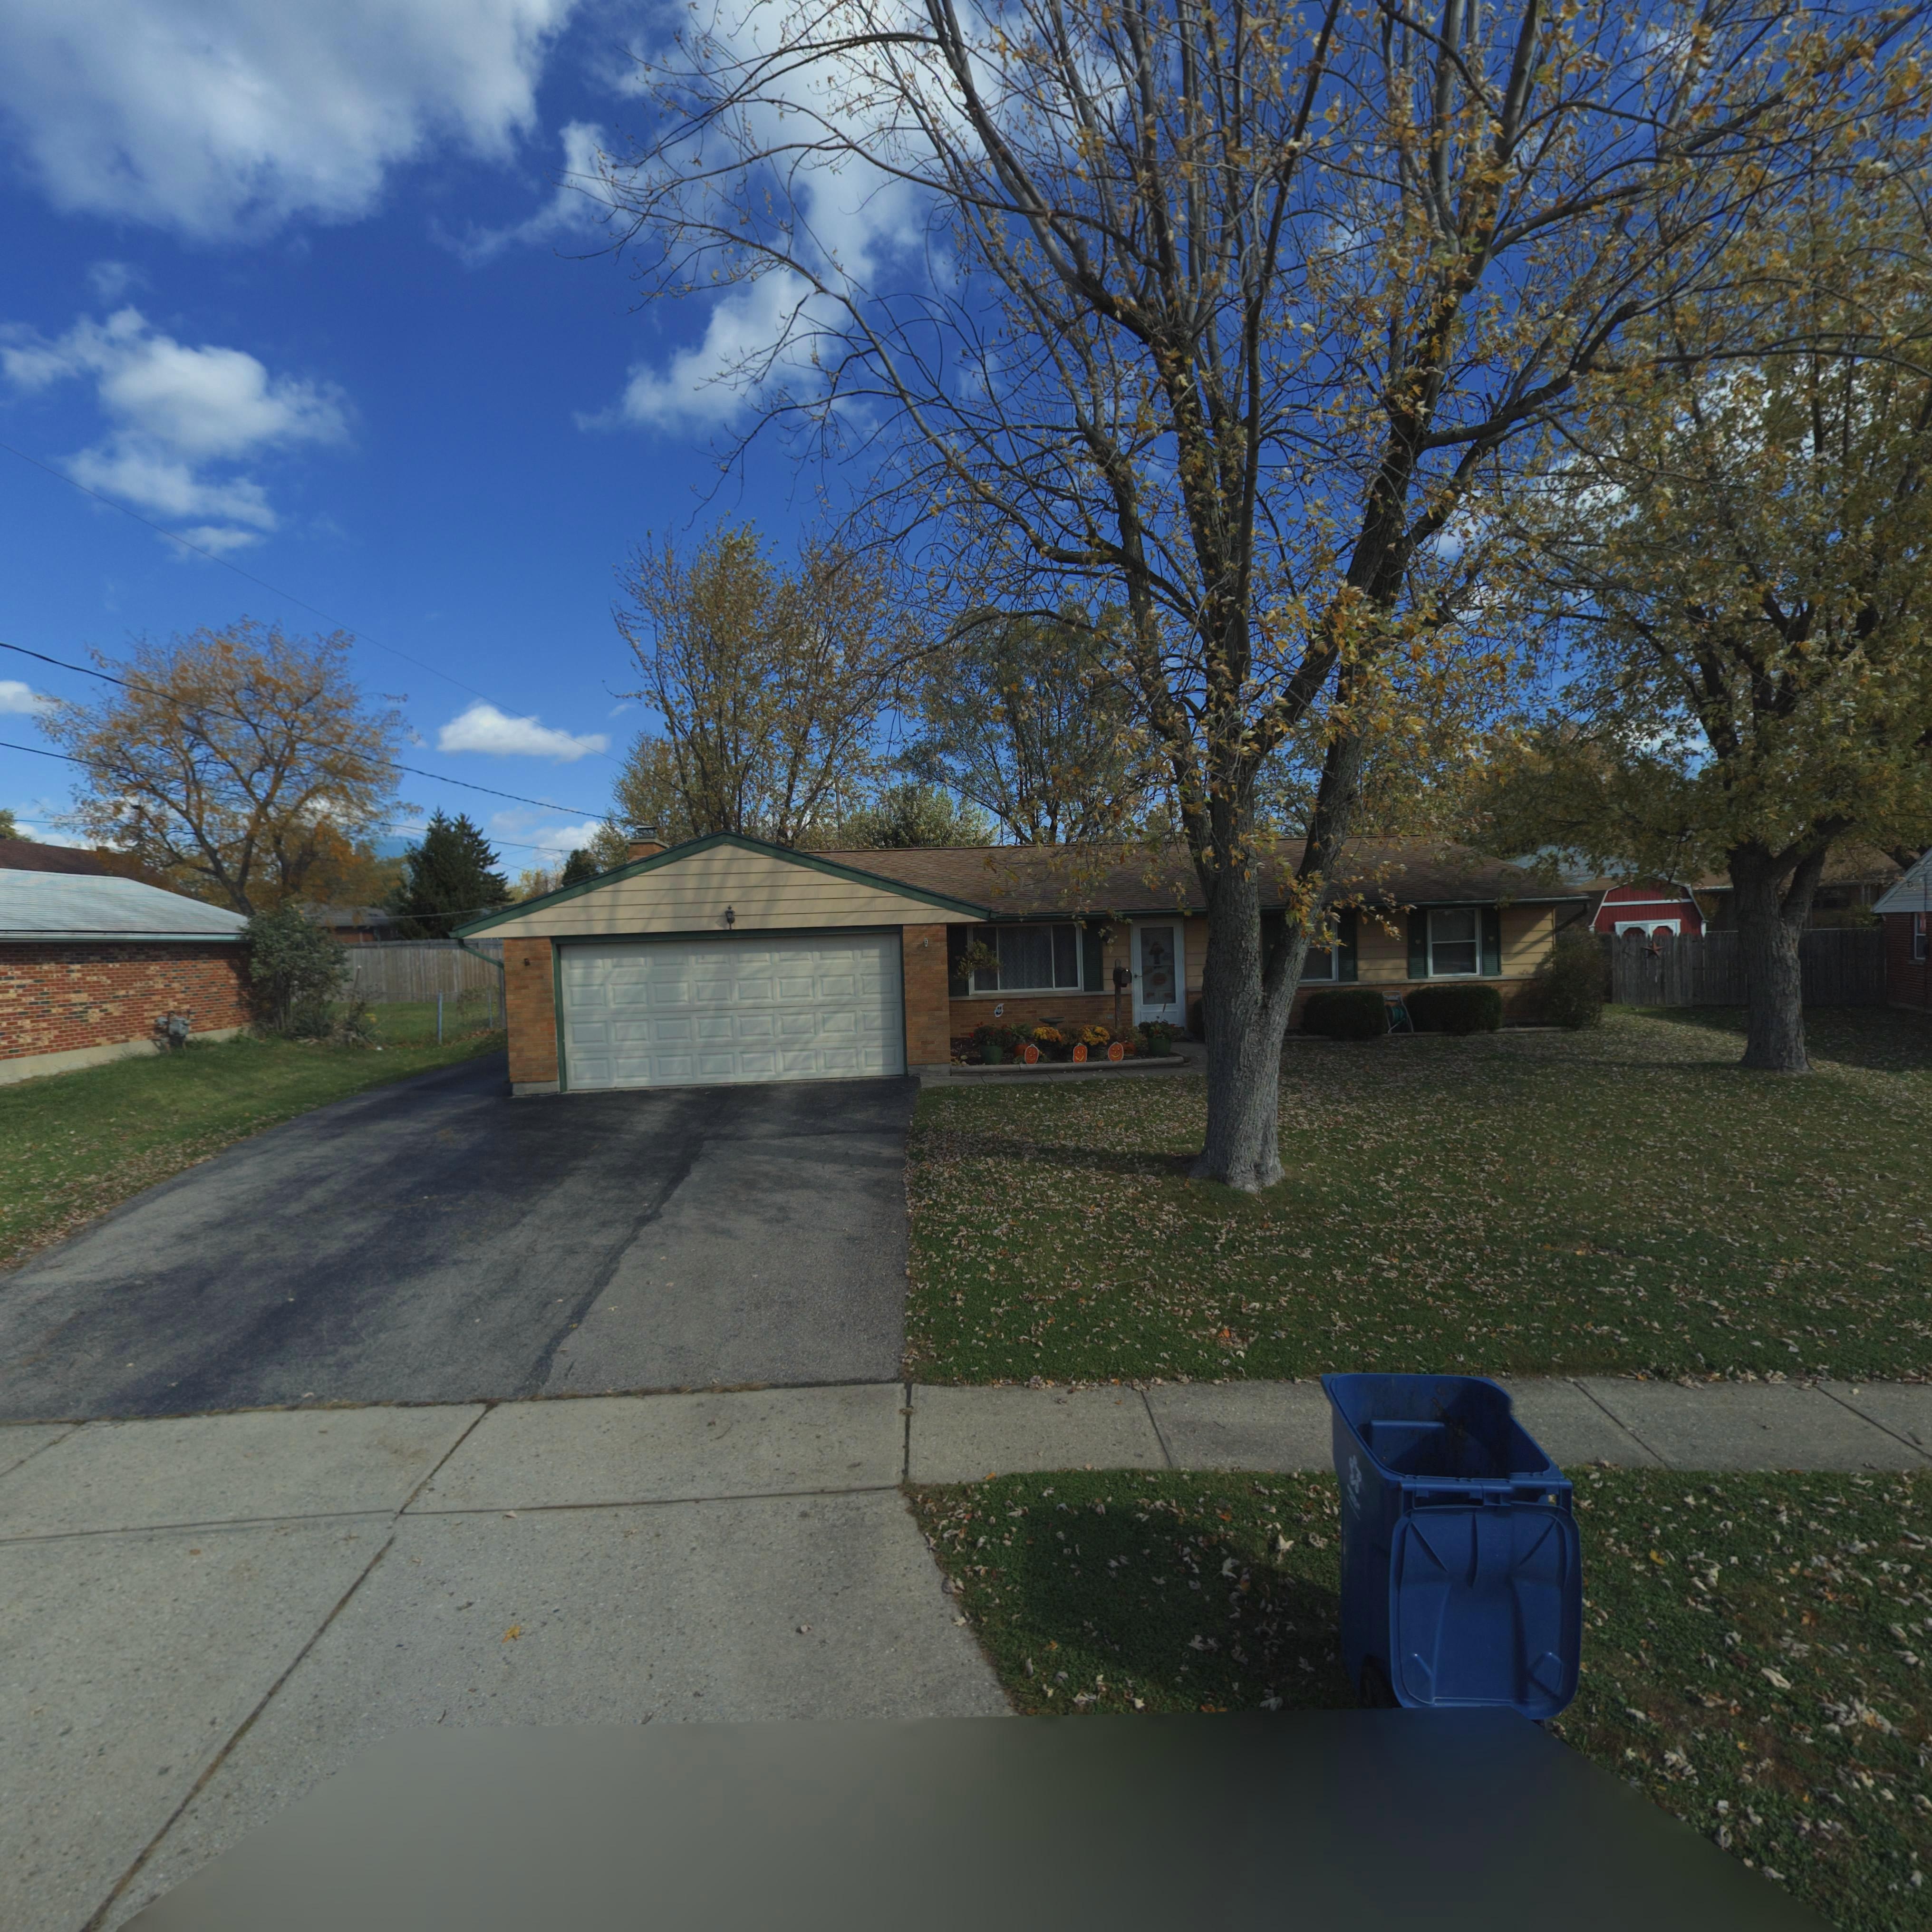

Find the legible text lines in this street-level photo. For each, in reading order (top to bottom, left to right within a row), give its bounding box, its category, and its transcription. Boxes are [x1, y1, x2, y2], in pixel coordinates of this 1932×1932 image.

[1116, 1000, 1121, 1012] StreetNumber: *0